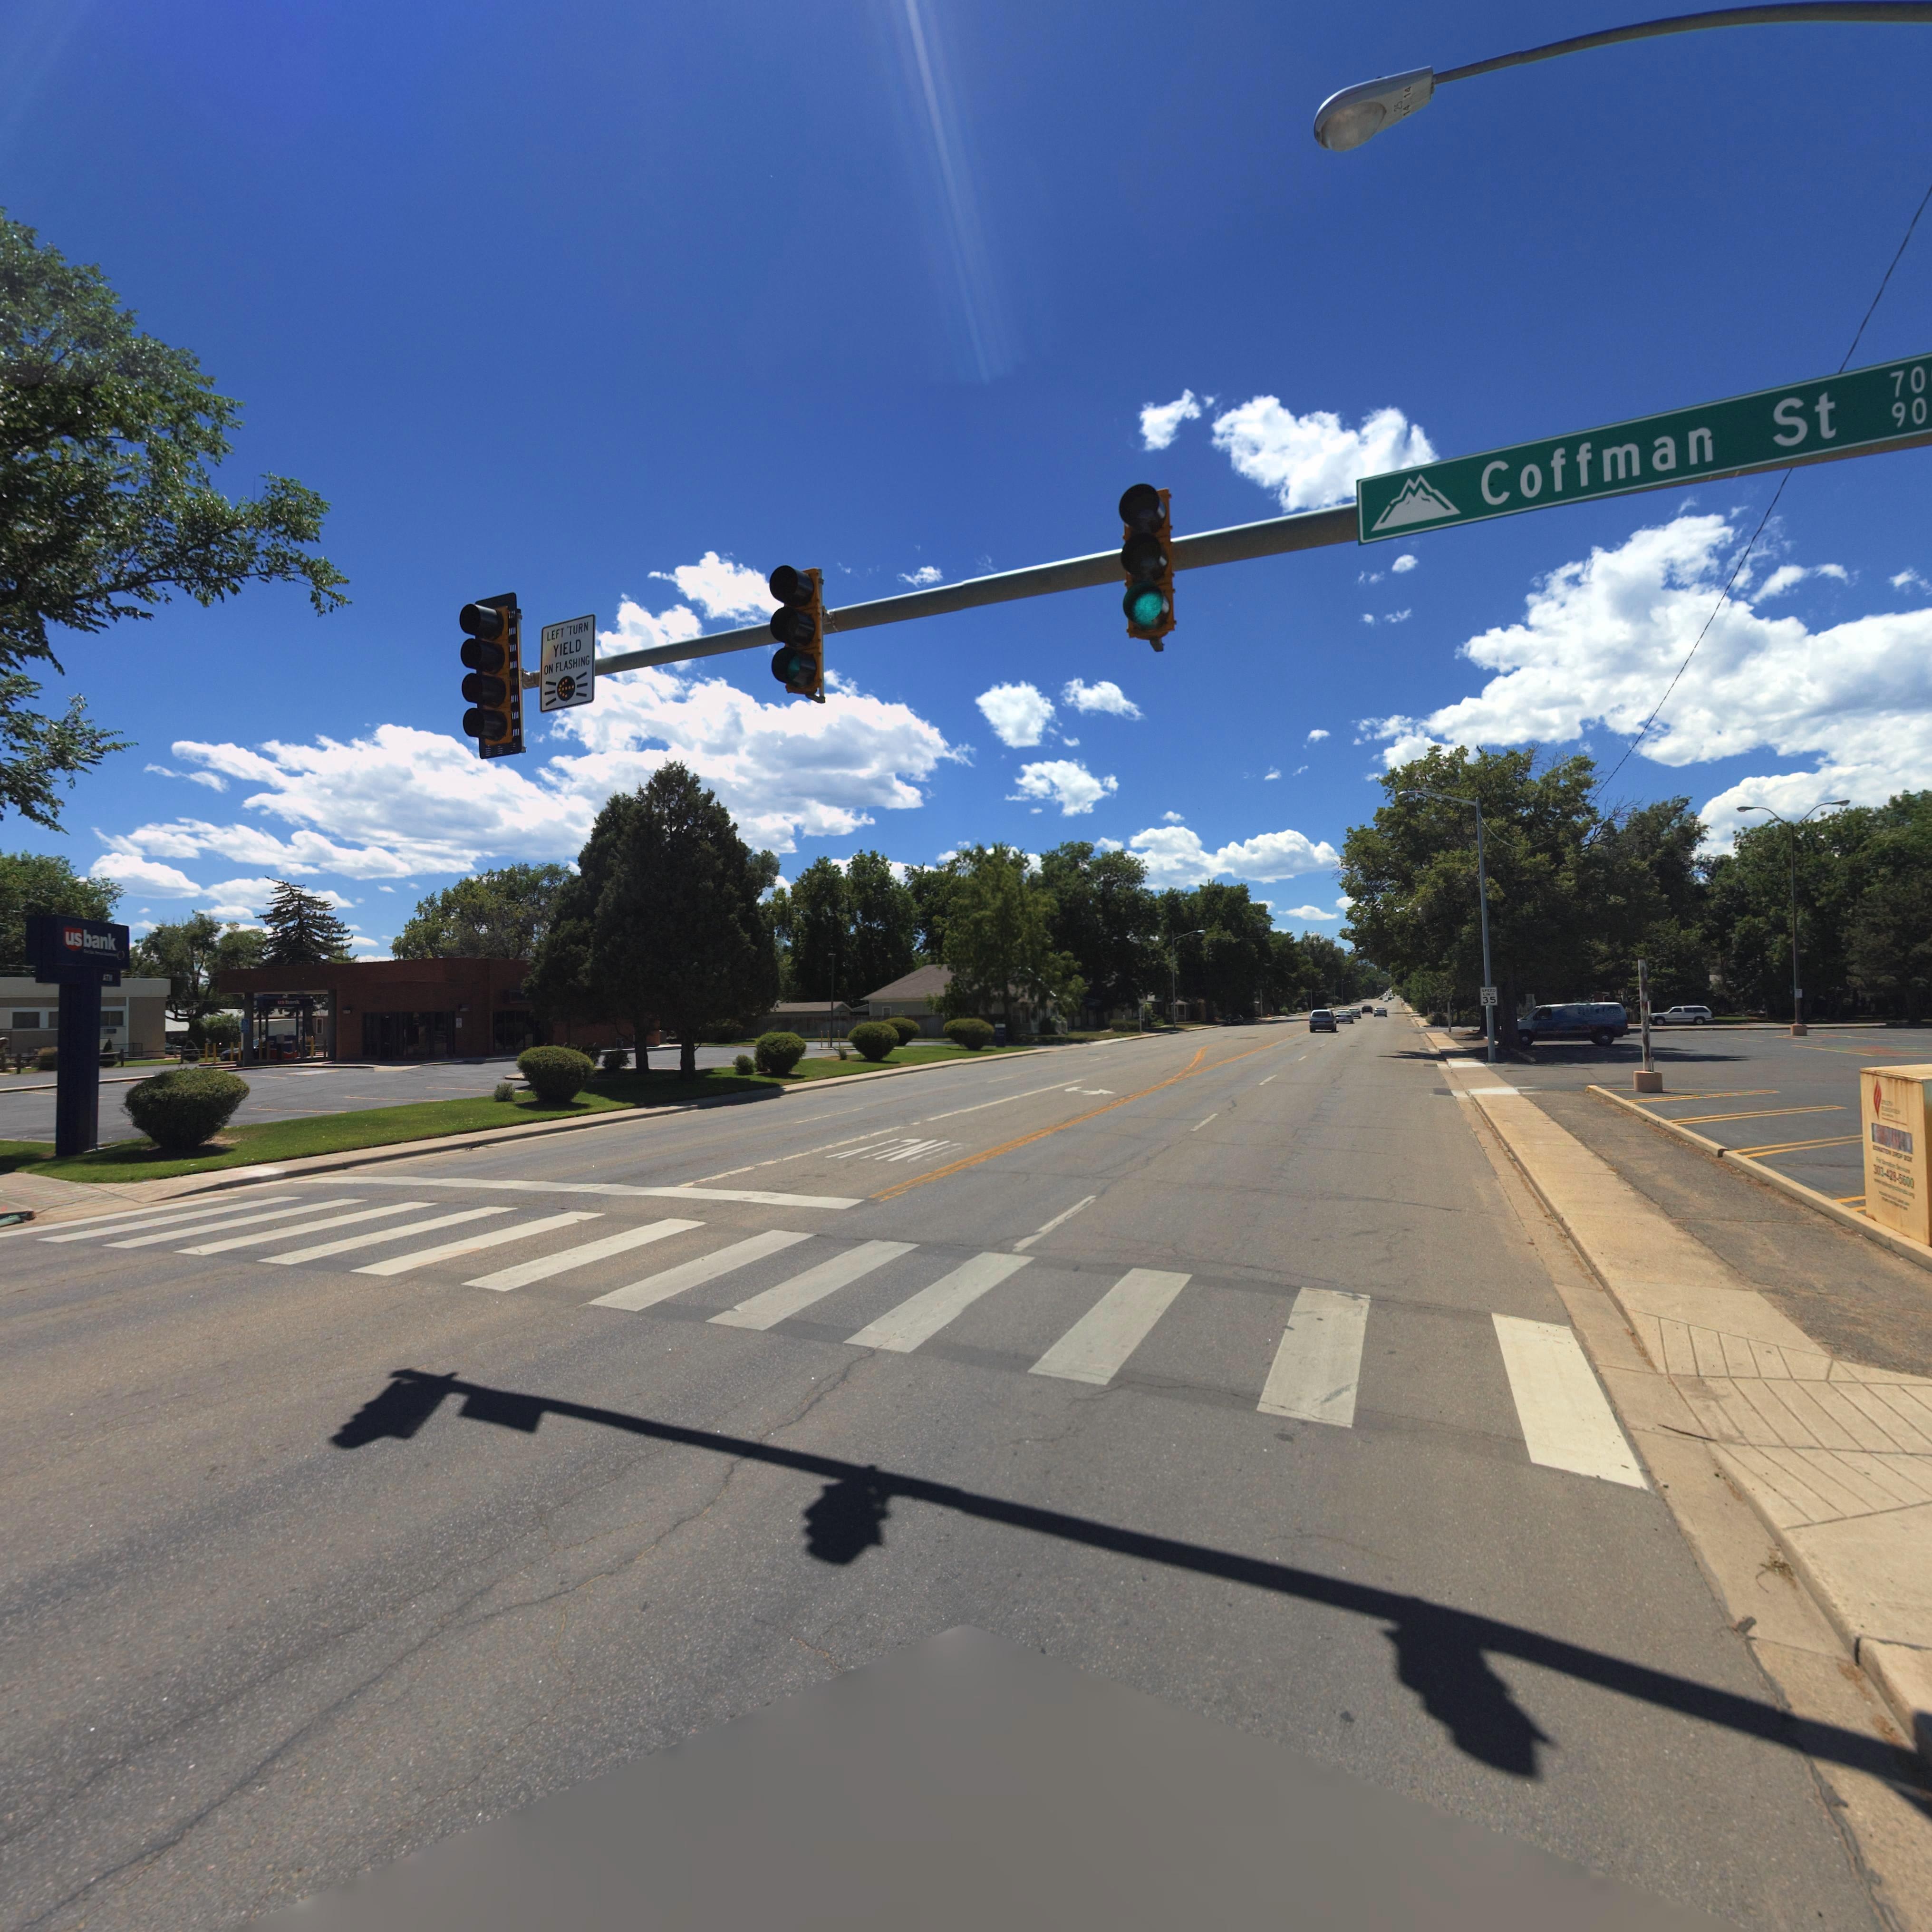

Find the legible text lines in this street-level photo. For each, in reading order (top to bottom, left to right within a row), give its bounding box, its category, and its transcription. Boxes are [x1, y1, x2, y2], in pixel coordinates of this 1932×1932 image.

[1889, 365, 1926, 398] StreetNumberRange: 70
[1890, 396, 1927, 428] StreetNumberRange: 90
[1480, 391, 1837, 505] StreetName: Coffman St
[65, 929, 116, 950] BusinessName: usbank
[277, 999, 300, 1004] BusinessName: usbank